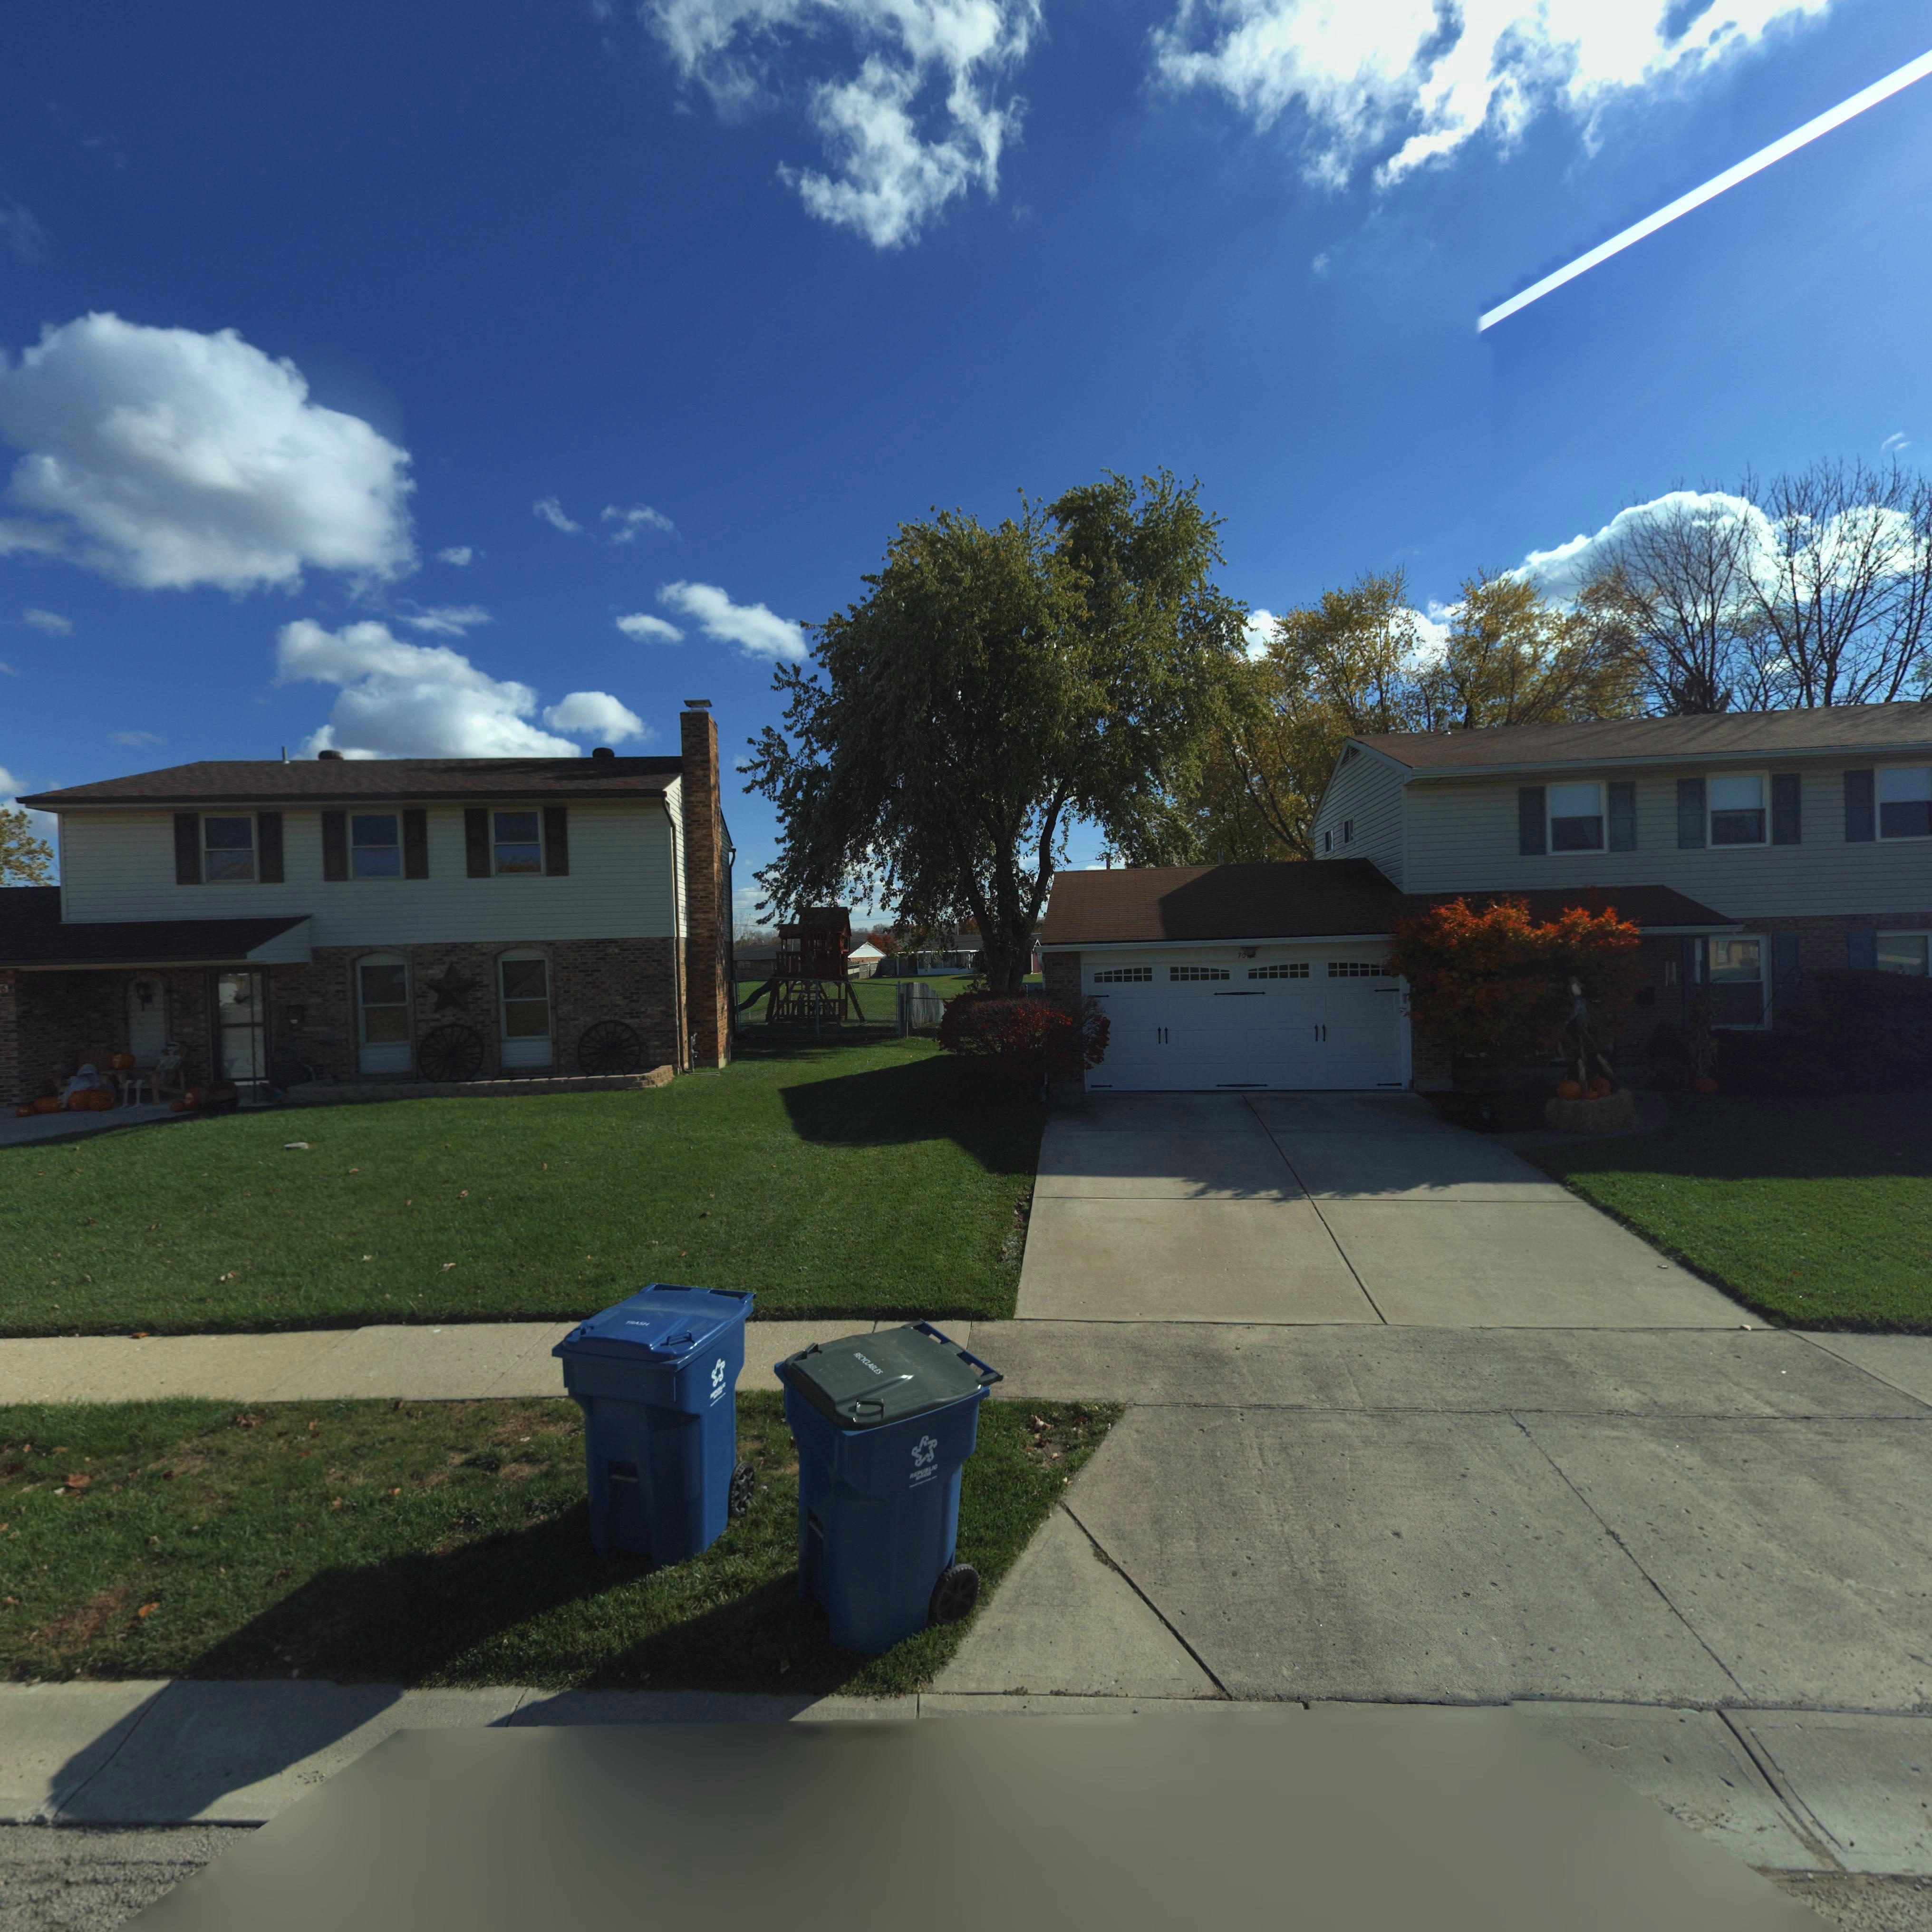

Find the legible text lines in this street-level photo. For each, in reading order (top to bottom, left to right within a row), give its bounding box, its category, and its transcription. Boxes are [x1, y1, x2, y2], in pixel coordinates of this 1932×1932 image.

[1237, 952, 1247, 960] StreetNumber: 70